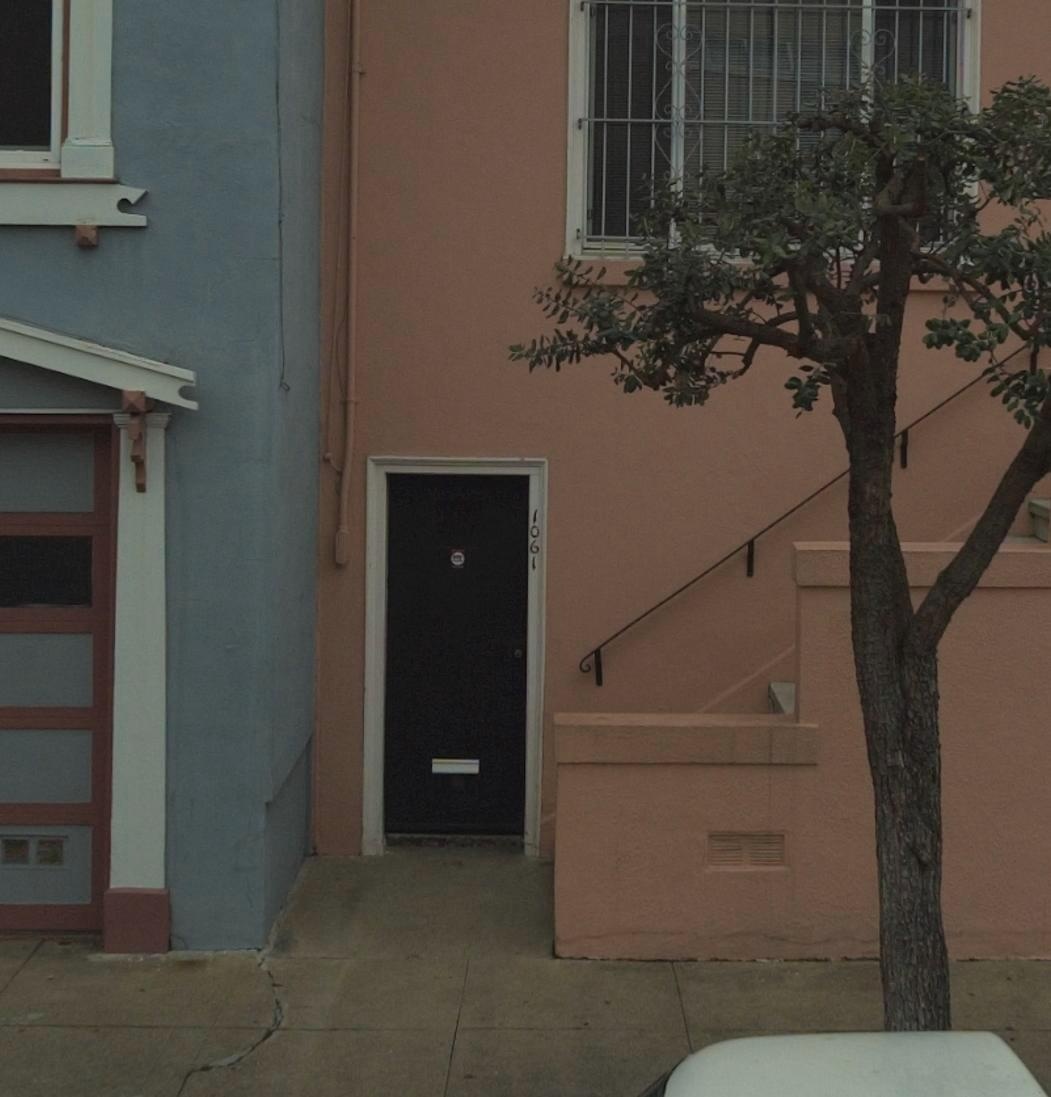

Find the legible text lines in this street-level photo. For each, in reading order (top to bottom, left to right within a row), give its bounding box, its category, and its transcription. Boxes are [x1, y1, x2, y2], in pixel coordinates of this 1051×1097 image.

[529, 508, 541, 572] StreetNumber: 1061